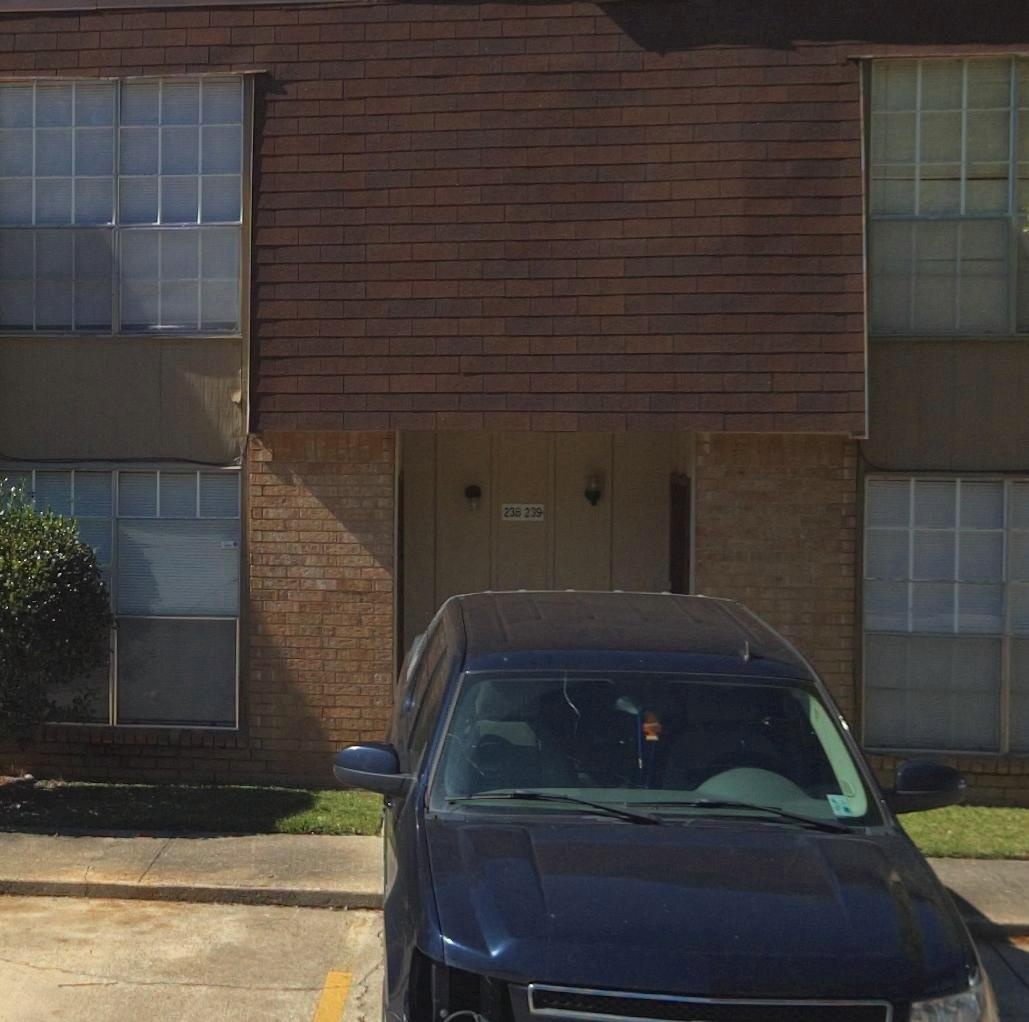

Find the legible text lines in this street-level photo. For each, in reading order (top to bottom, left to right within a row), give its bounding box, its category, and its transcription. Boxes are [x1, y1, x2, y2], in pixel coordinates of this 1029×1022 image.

[503, 506, 522, 519] StreetNumber: 238
[522, 506, 543, 519] StreetNumber: 239